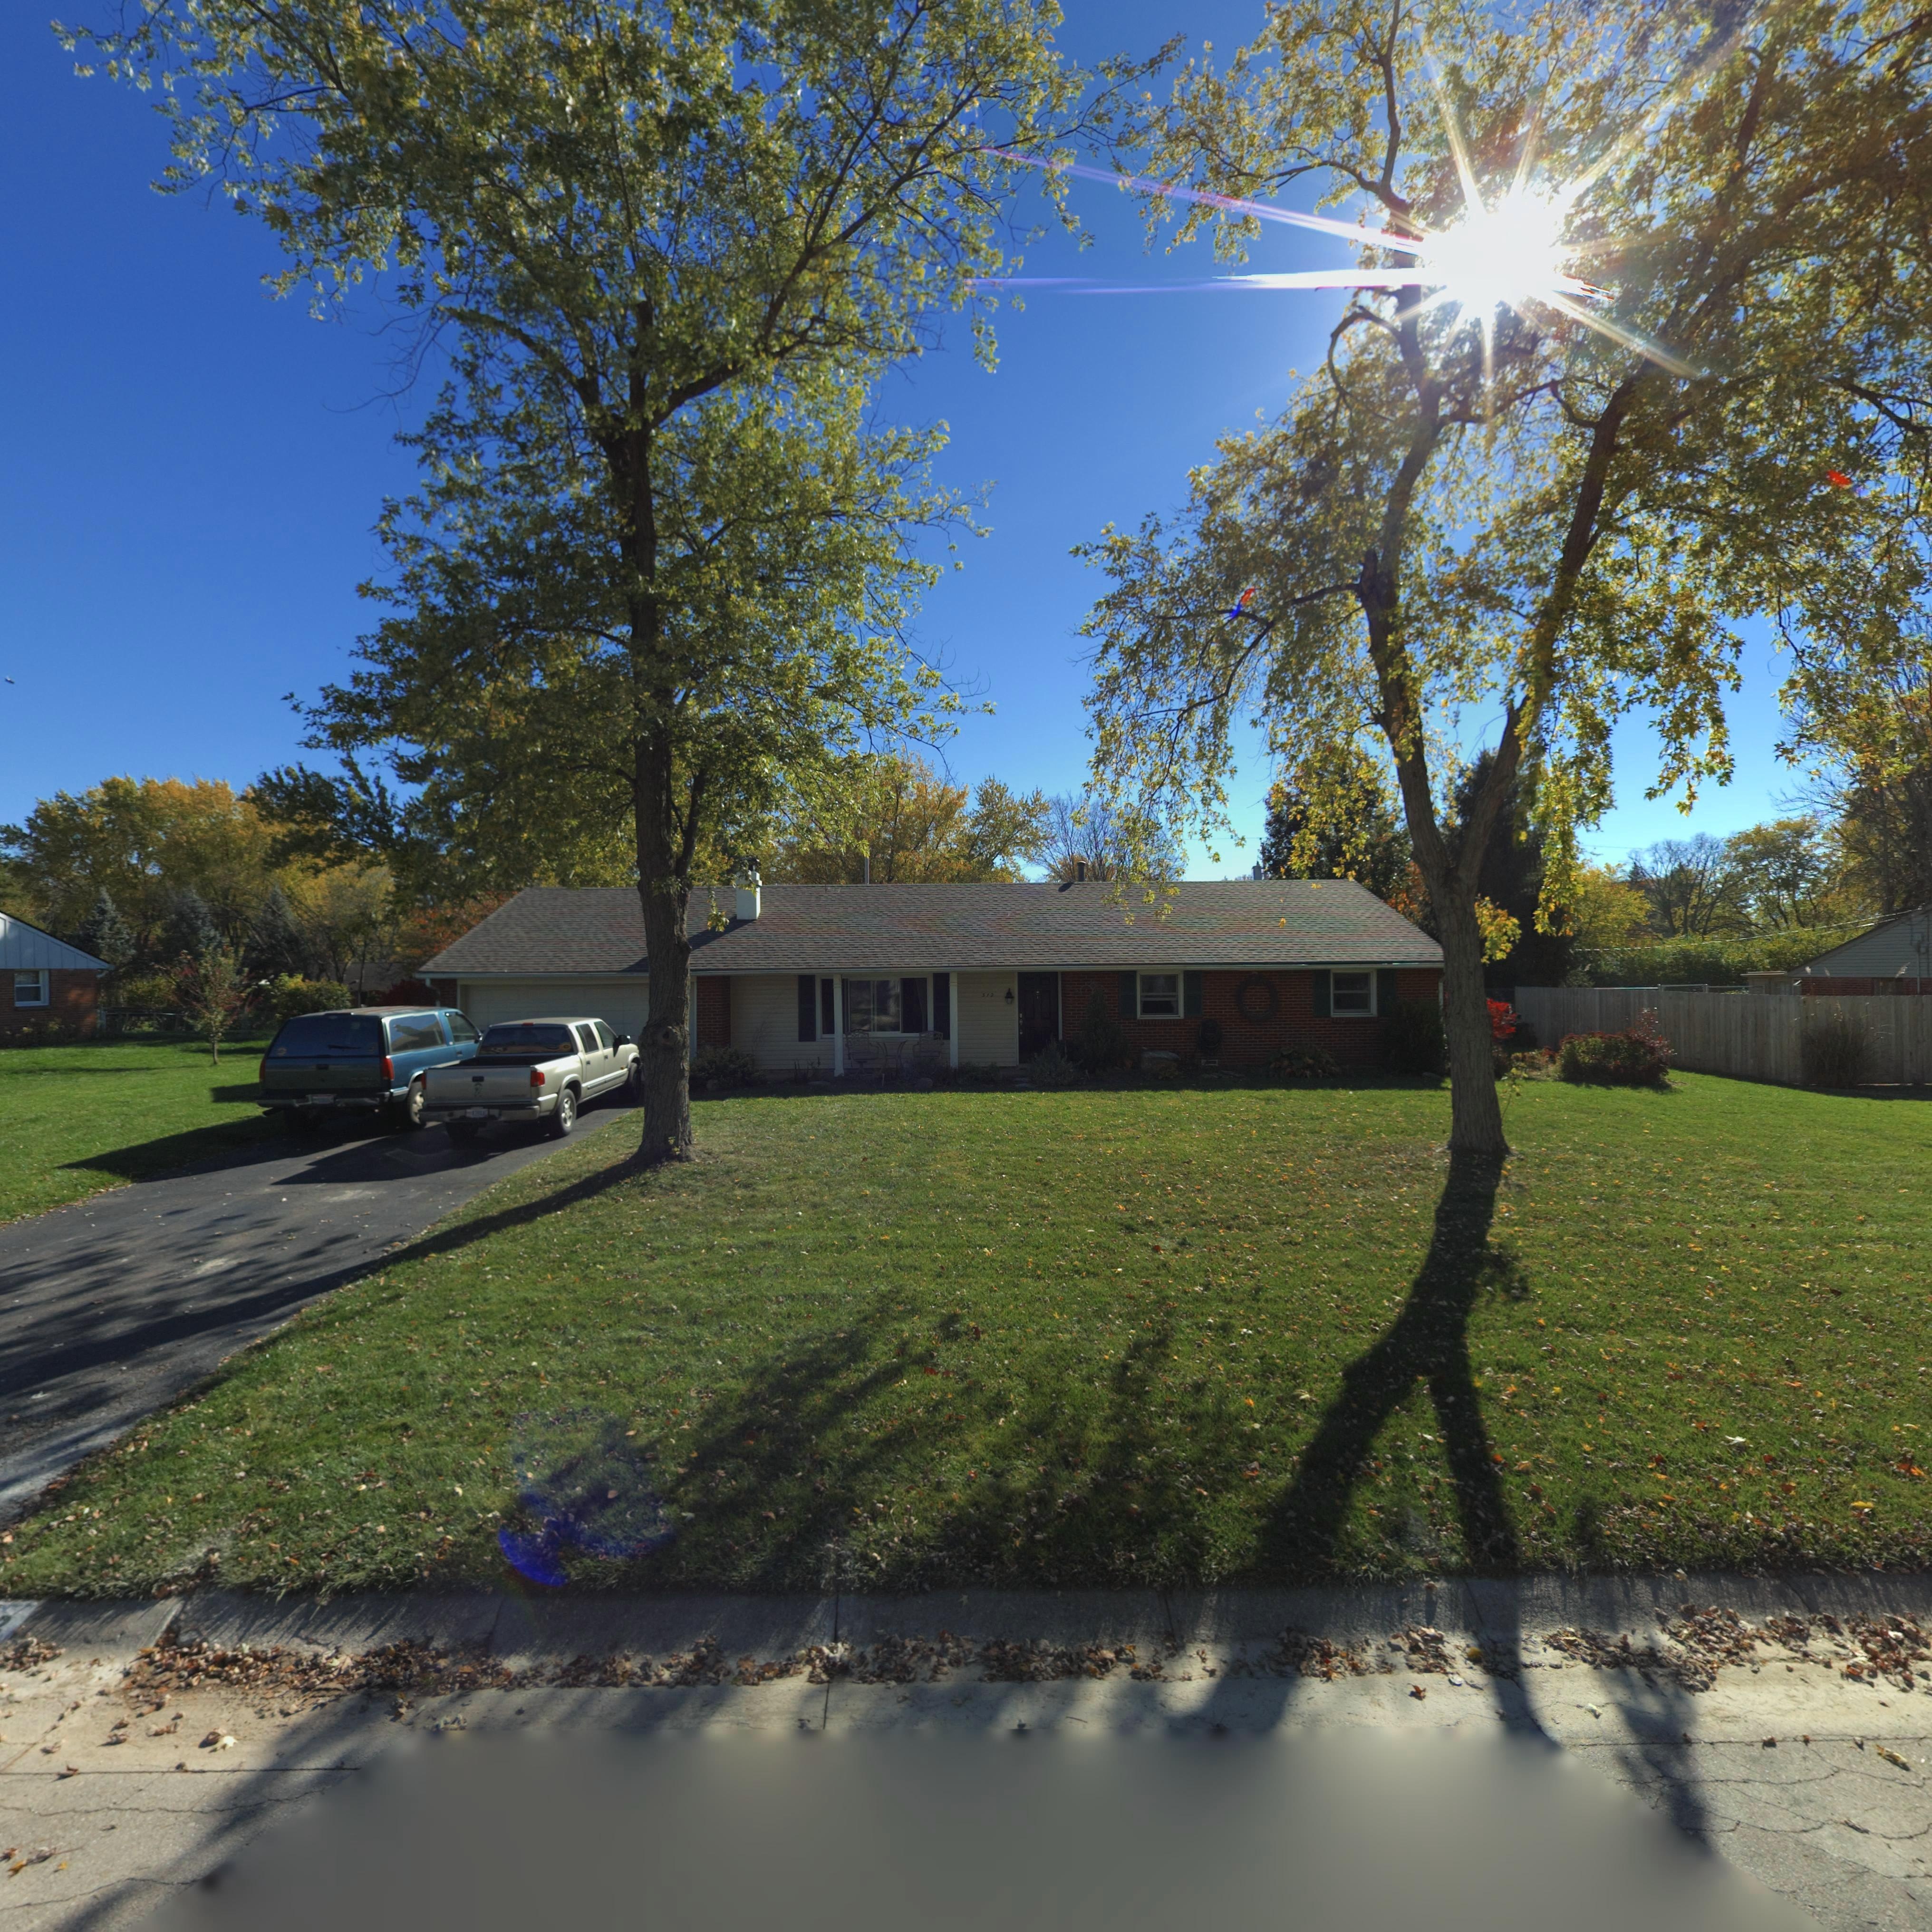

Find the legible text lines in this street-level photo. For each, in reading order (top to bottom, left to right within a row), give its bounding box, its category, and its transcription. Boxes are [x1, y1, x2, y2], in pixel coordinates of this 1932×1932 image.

[981, 993, 994, 997] StreetNumber: 512